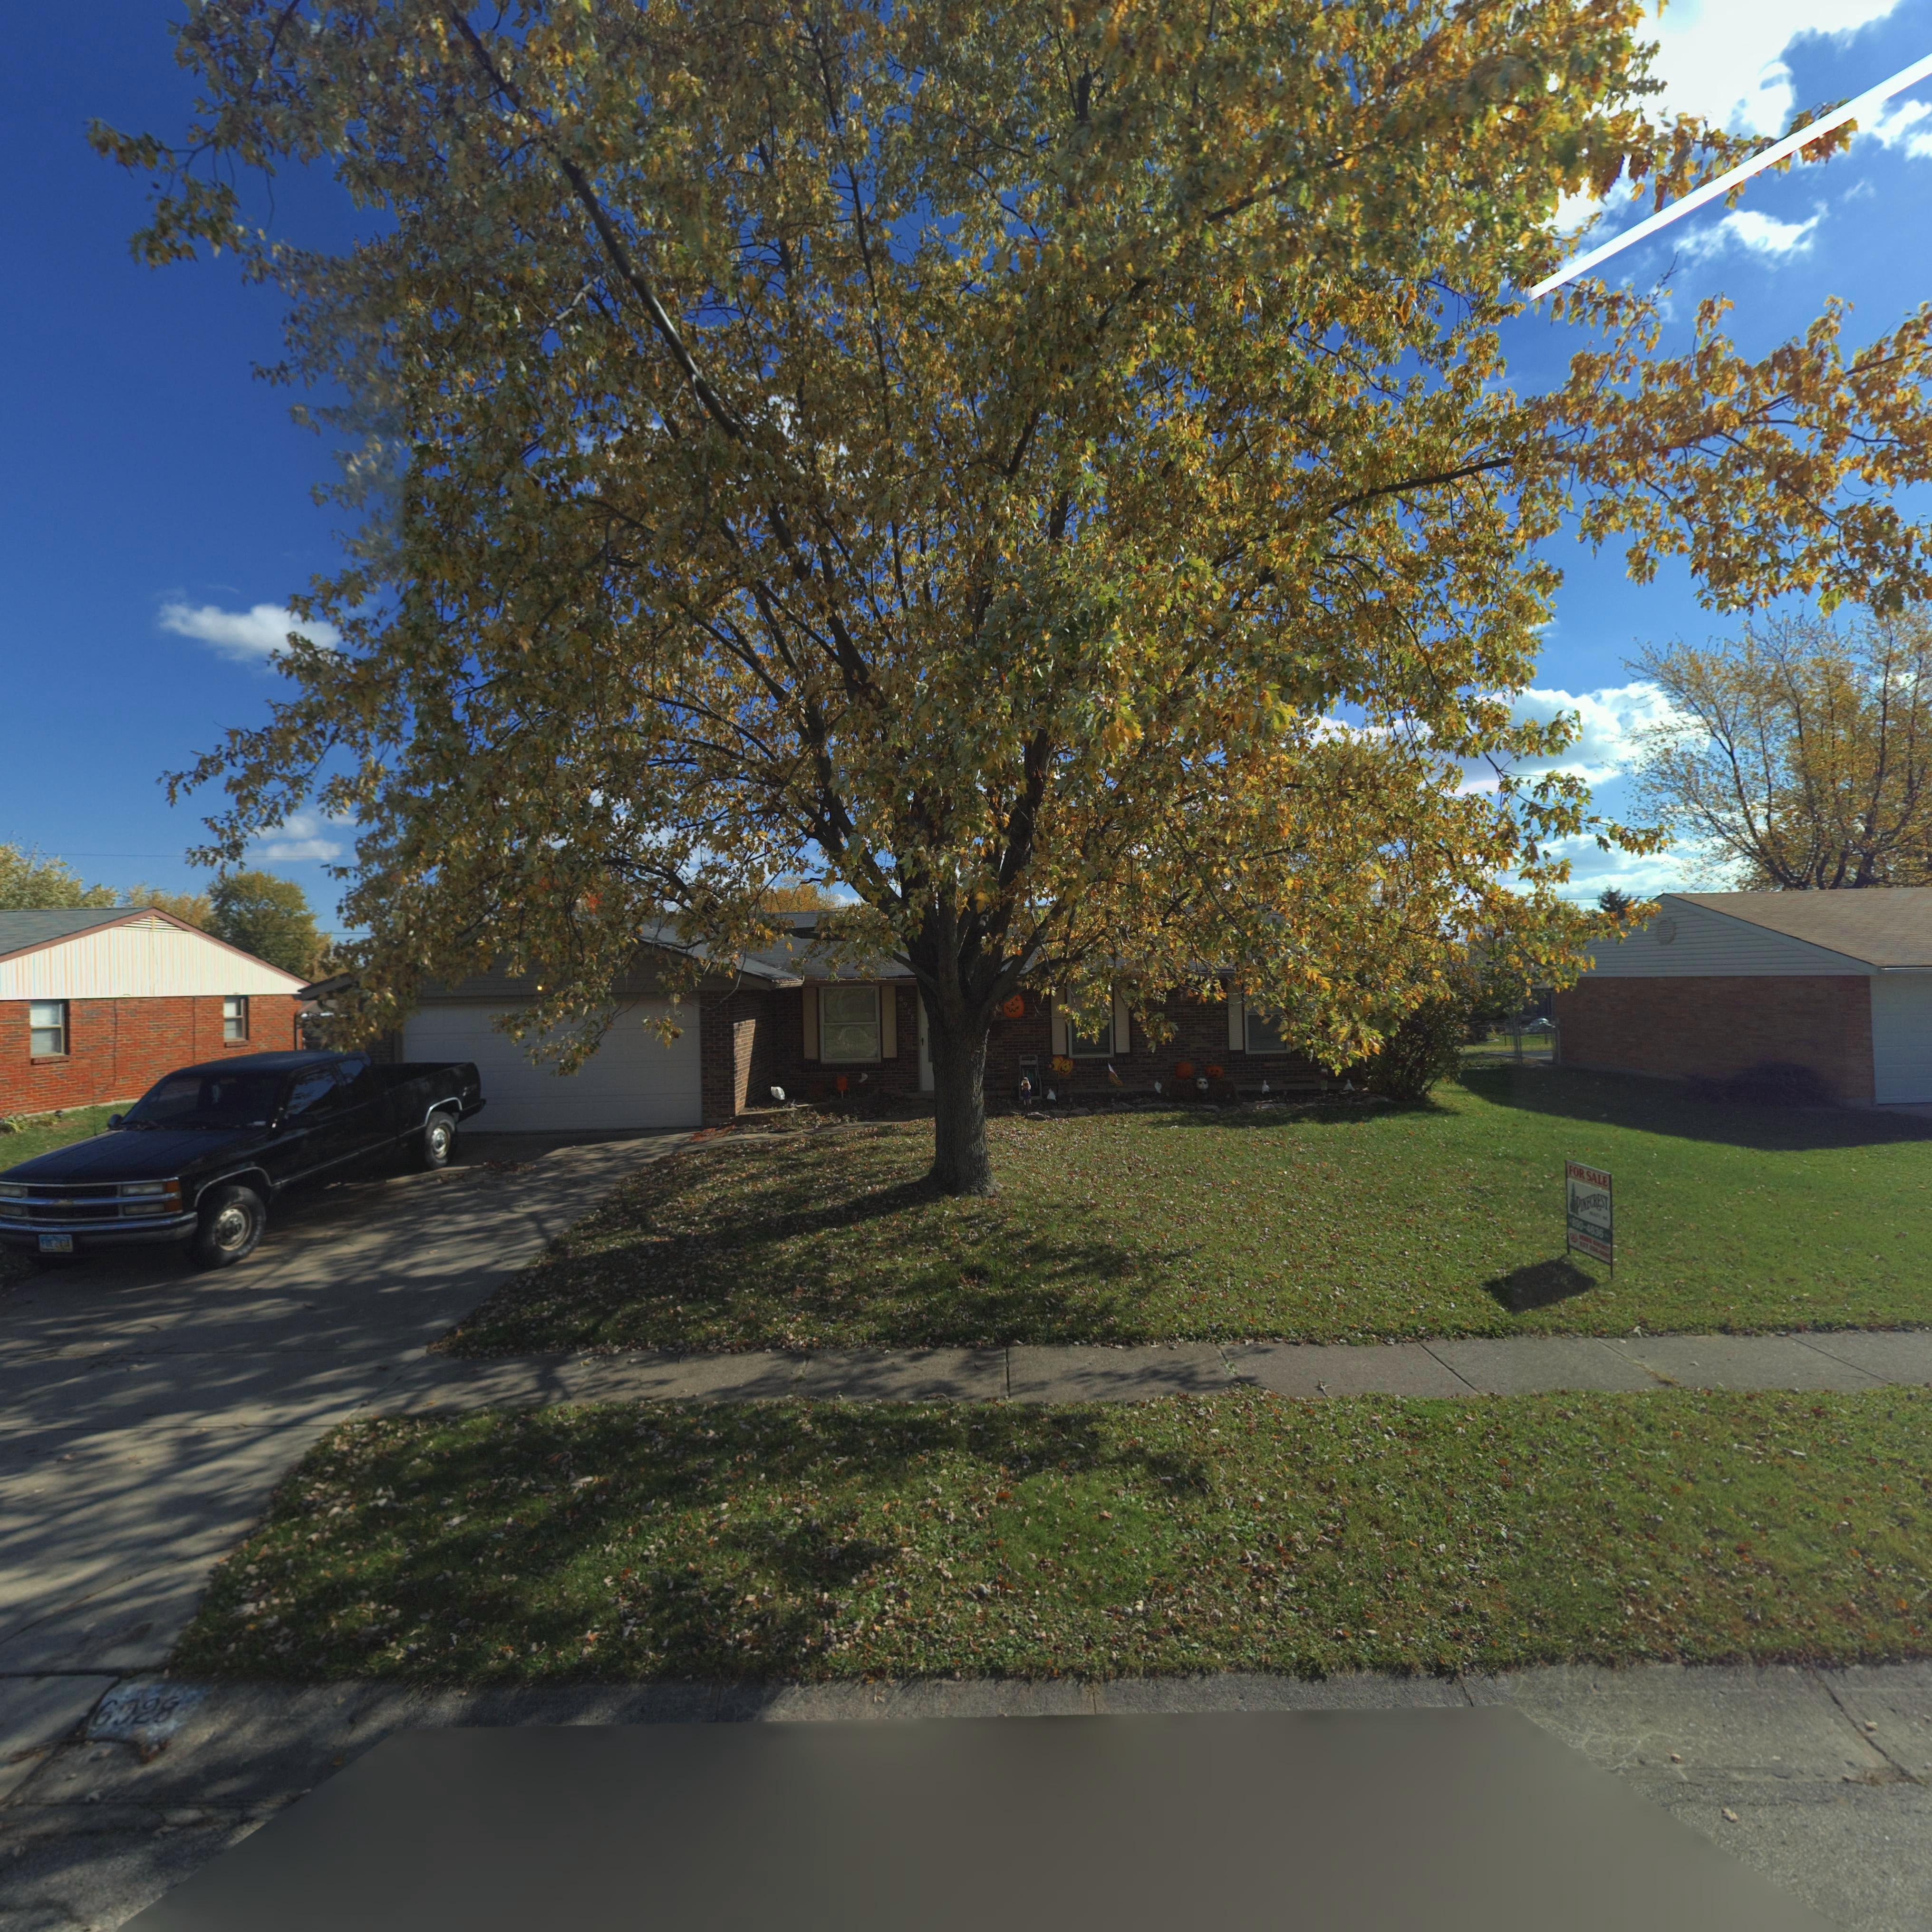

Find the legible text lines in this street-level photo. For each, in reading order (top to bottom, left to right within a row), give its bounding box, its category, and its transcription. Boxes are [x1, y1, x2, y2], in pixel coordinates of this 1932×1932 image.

[898, 994, 916, 1022] StreetNumber: 6928